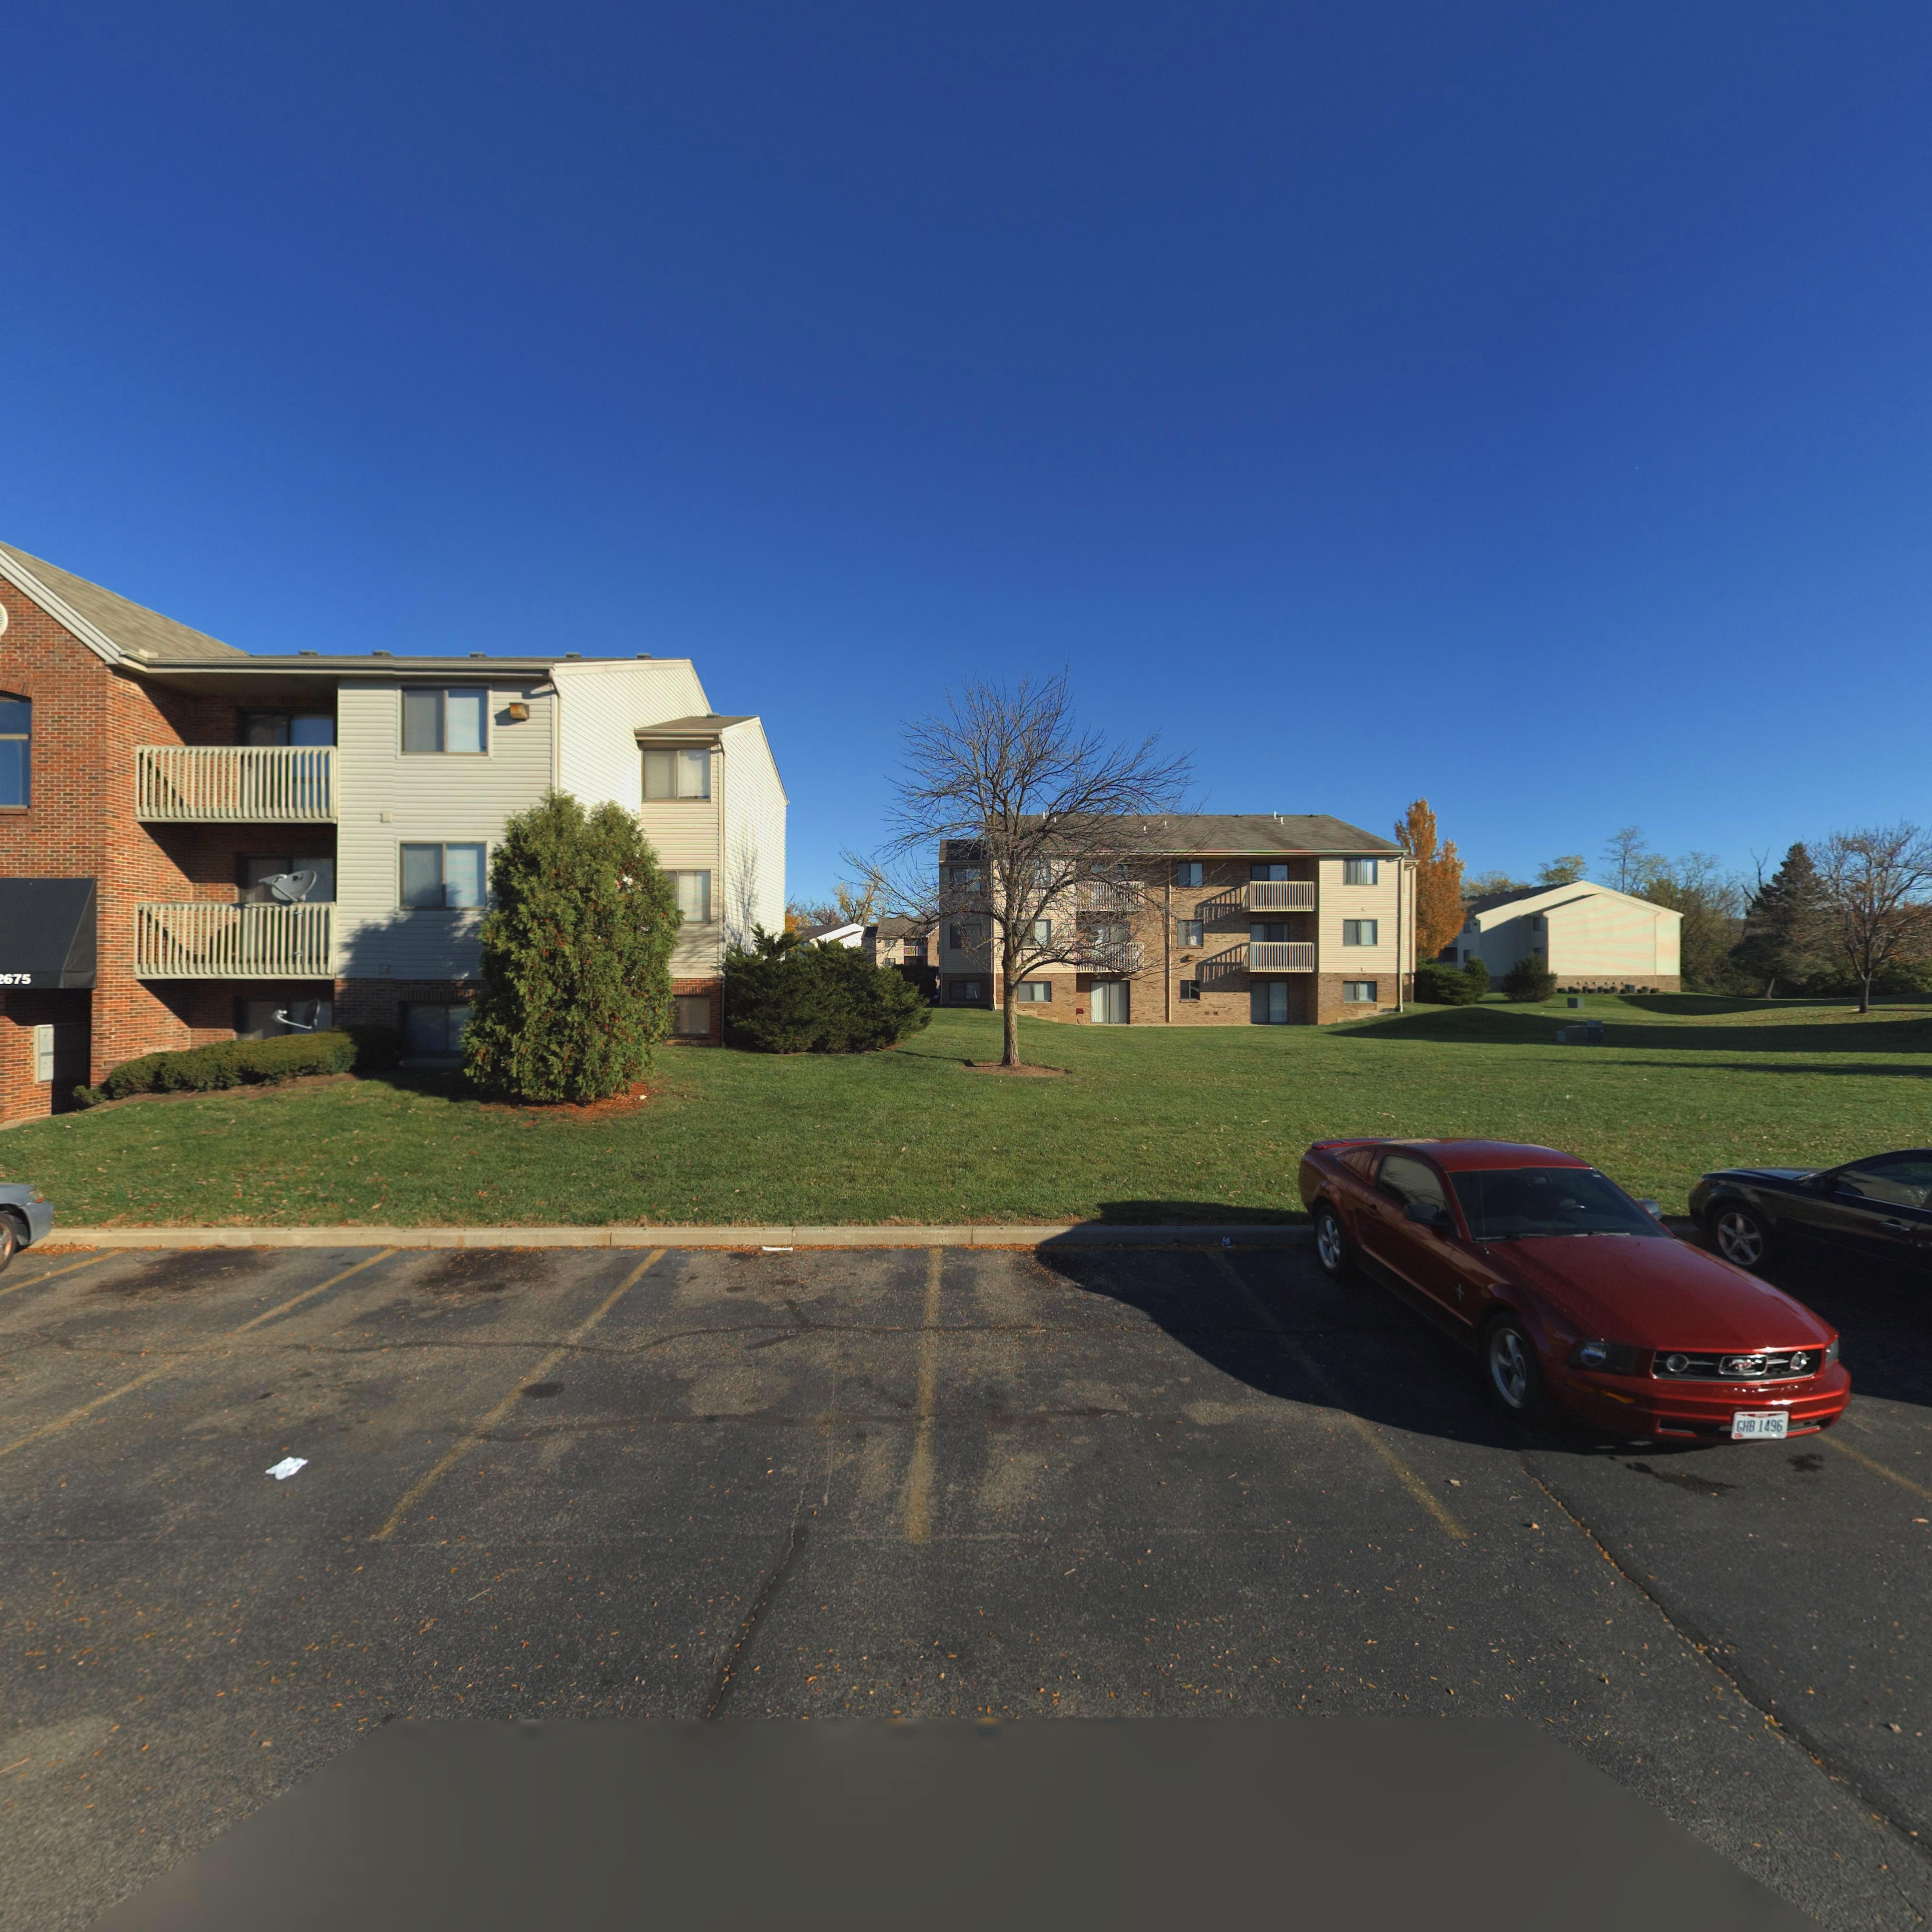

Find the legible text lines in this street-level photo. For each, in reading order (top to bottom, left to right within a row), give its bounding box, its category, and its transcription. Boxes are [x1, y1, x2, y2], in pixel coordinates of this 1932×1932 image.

[2, 972, 33, 986] StreetNumber: 675